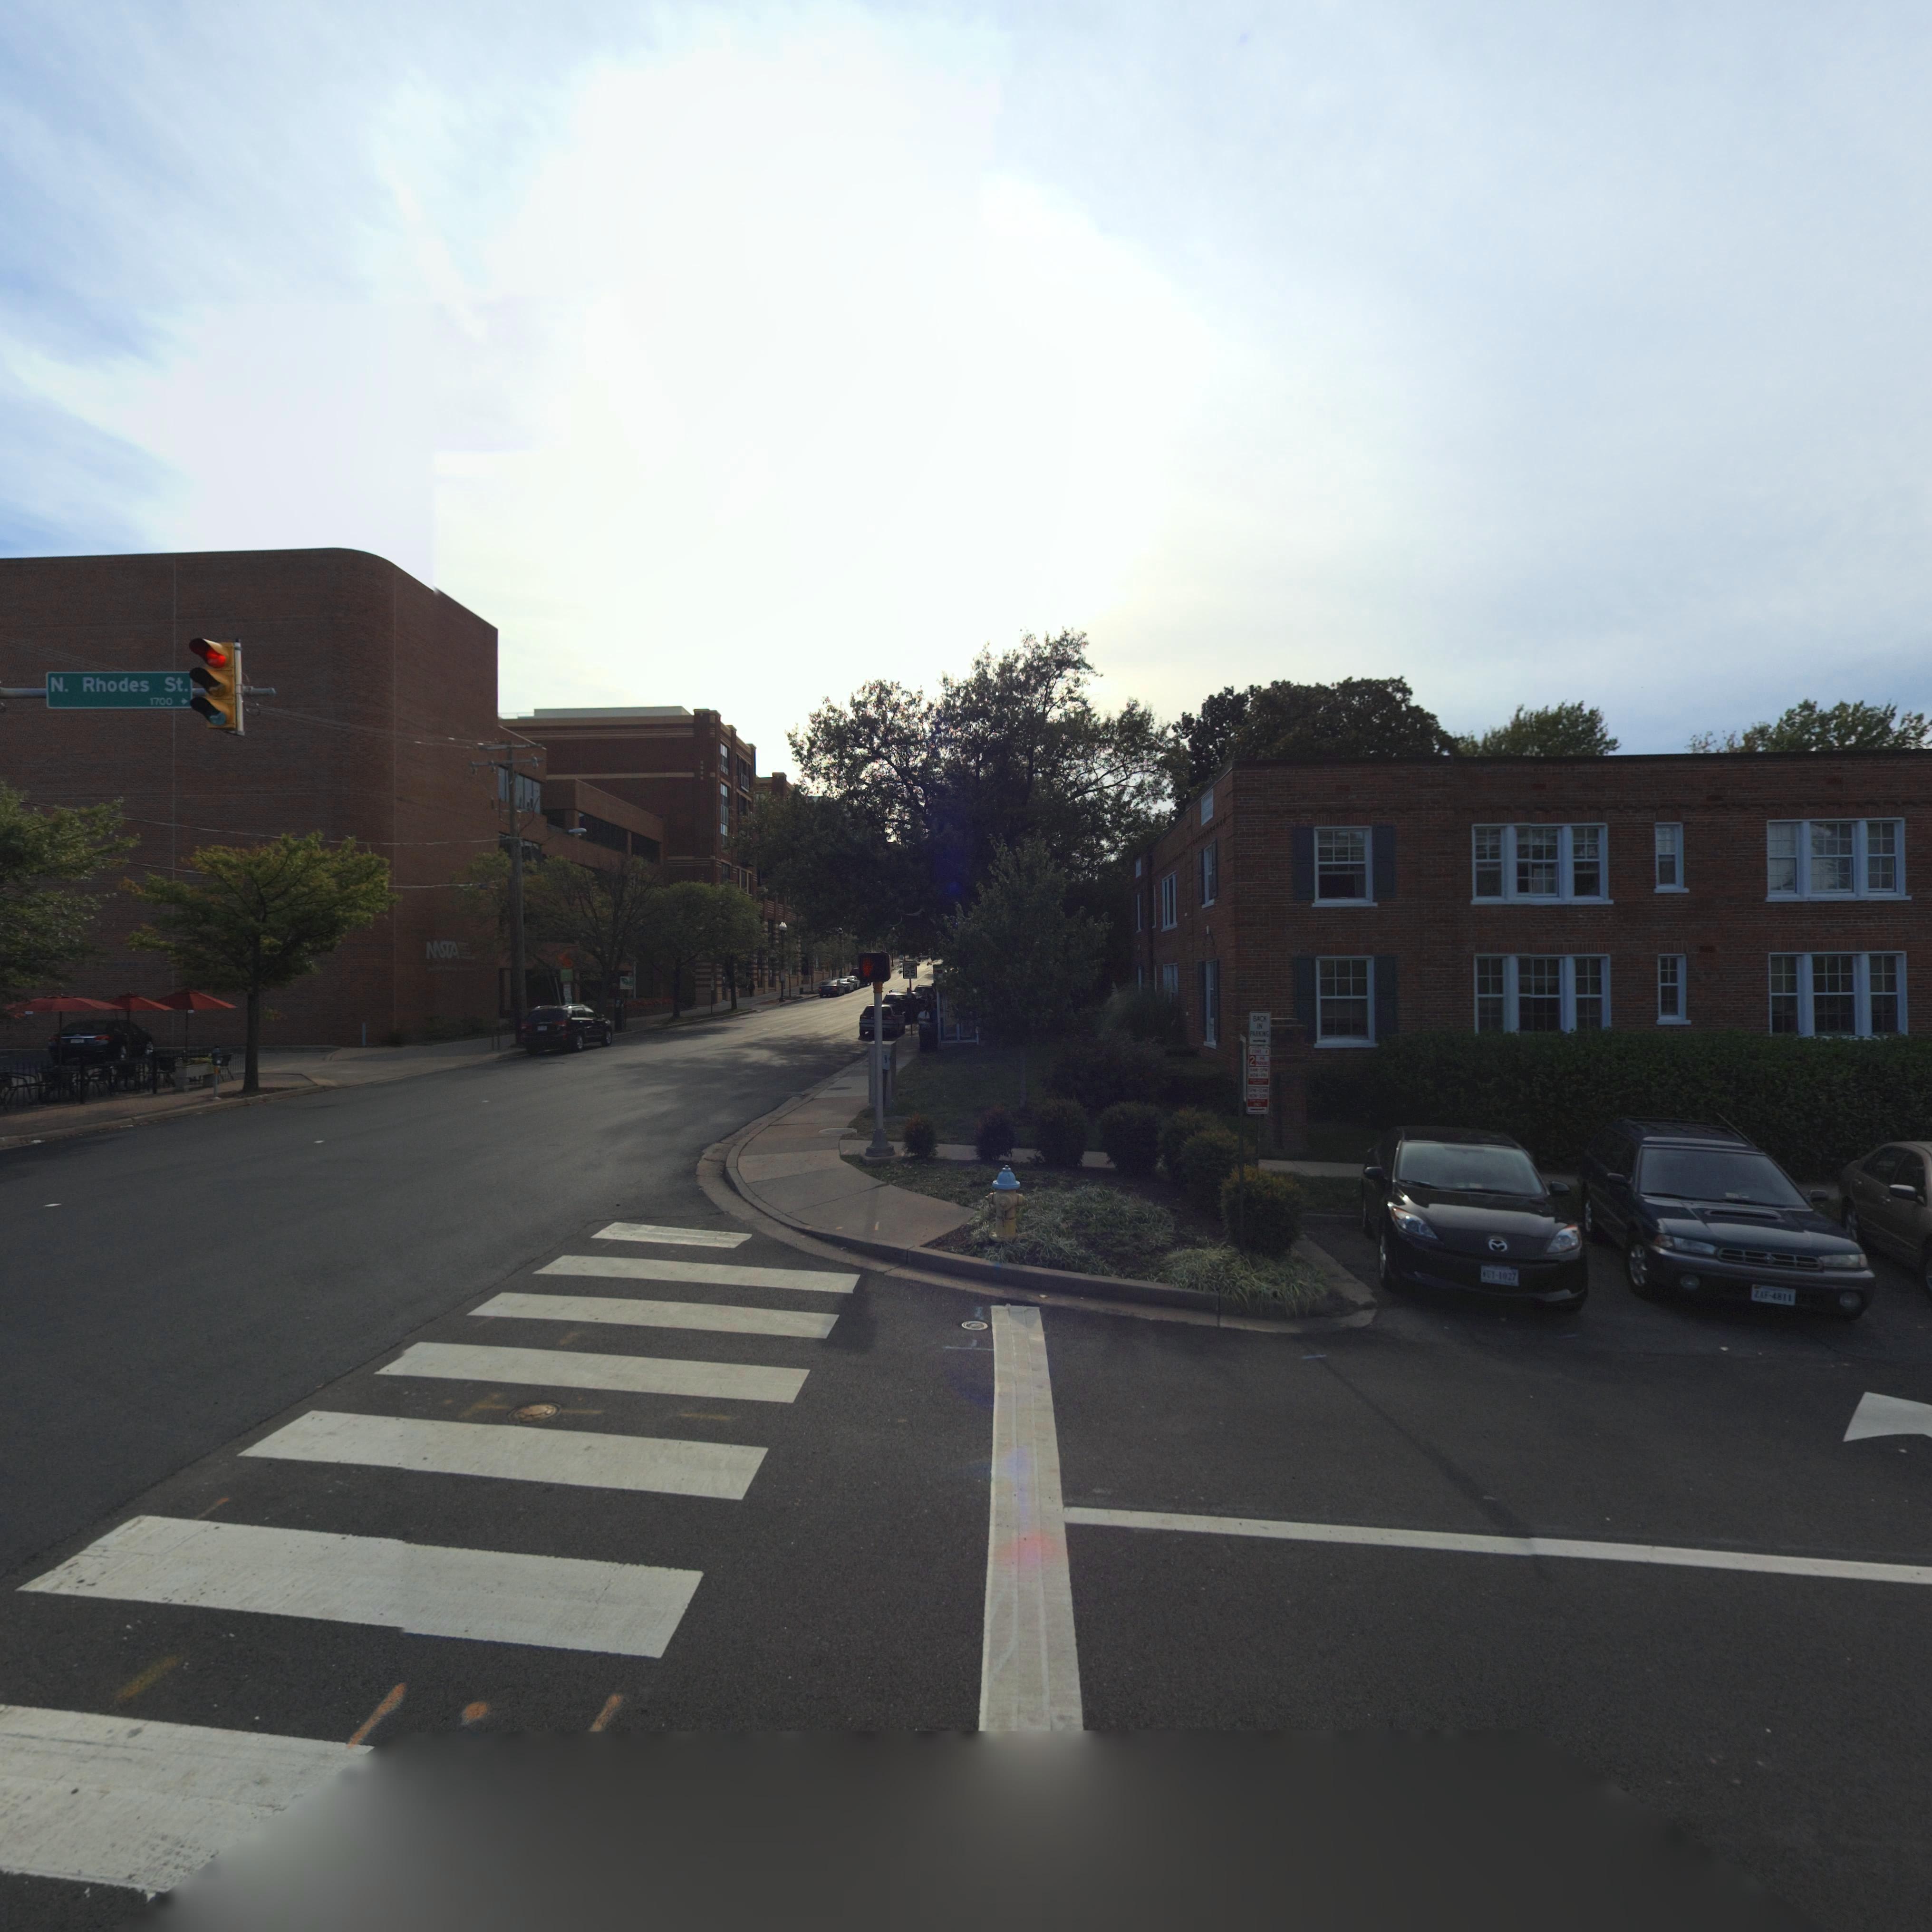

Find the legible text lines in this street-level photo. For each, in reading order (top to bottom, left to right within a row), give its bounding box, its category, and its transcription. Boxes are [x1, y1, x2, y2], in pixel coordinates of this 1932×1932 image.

[50, 676, 189, 693] StreetName: N. Rhodes St.
[149, 697, 189, 706] StreetNumberRange: 17000->
[431, 941, 461, 960] BusinessName: *STA
[904, 970, 916, 976] None: 25
[1252, 1015, 1267, 1022] None: BACK
[1256, 1023, 1263, 1030] None: IN
[1249, 1030, 1269, 1037] None: PARKING
[1256, 1049, 1268, 1054] None: NE 4
[1248, 1055, 1256, 1066] None: 2
[1482, 1269, 1517, 1282] None: *UY*1027
[1753, 1289, 1793, 1302] None: ZAF*4811